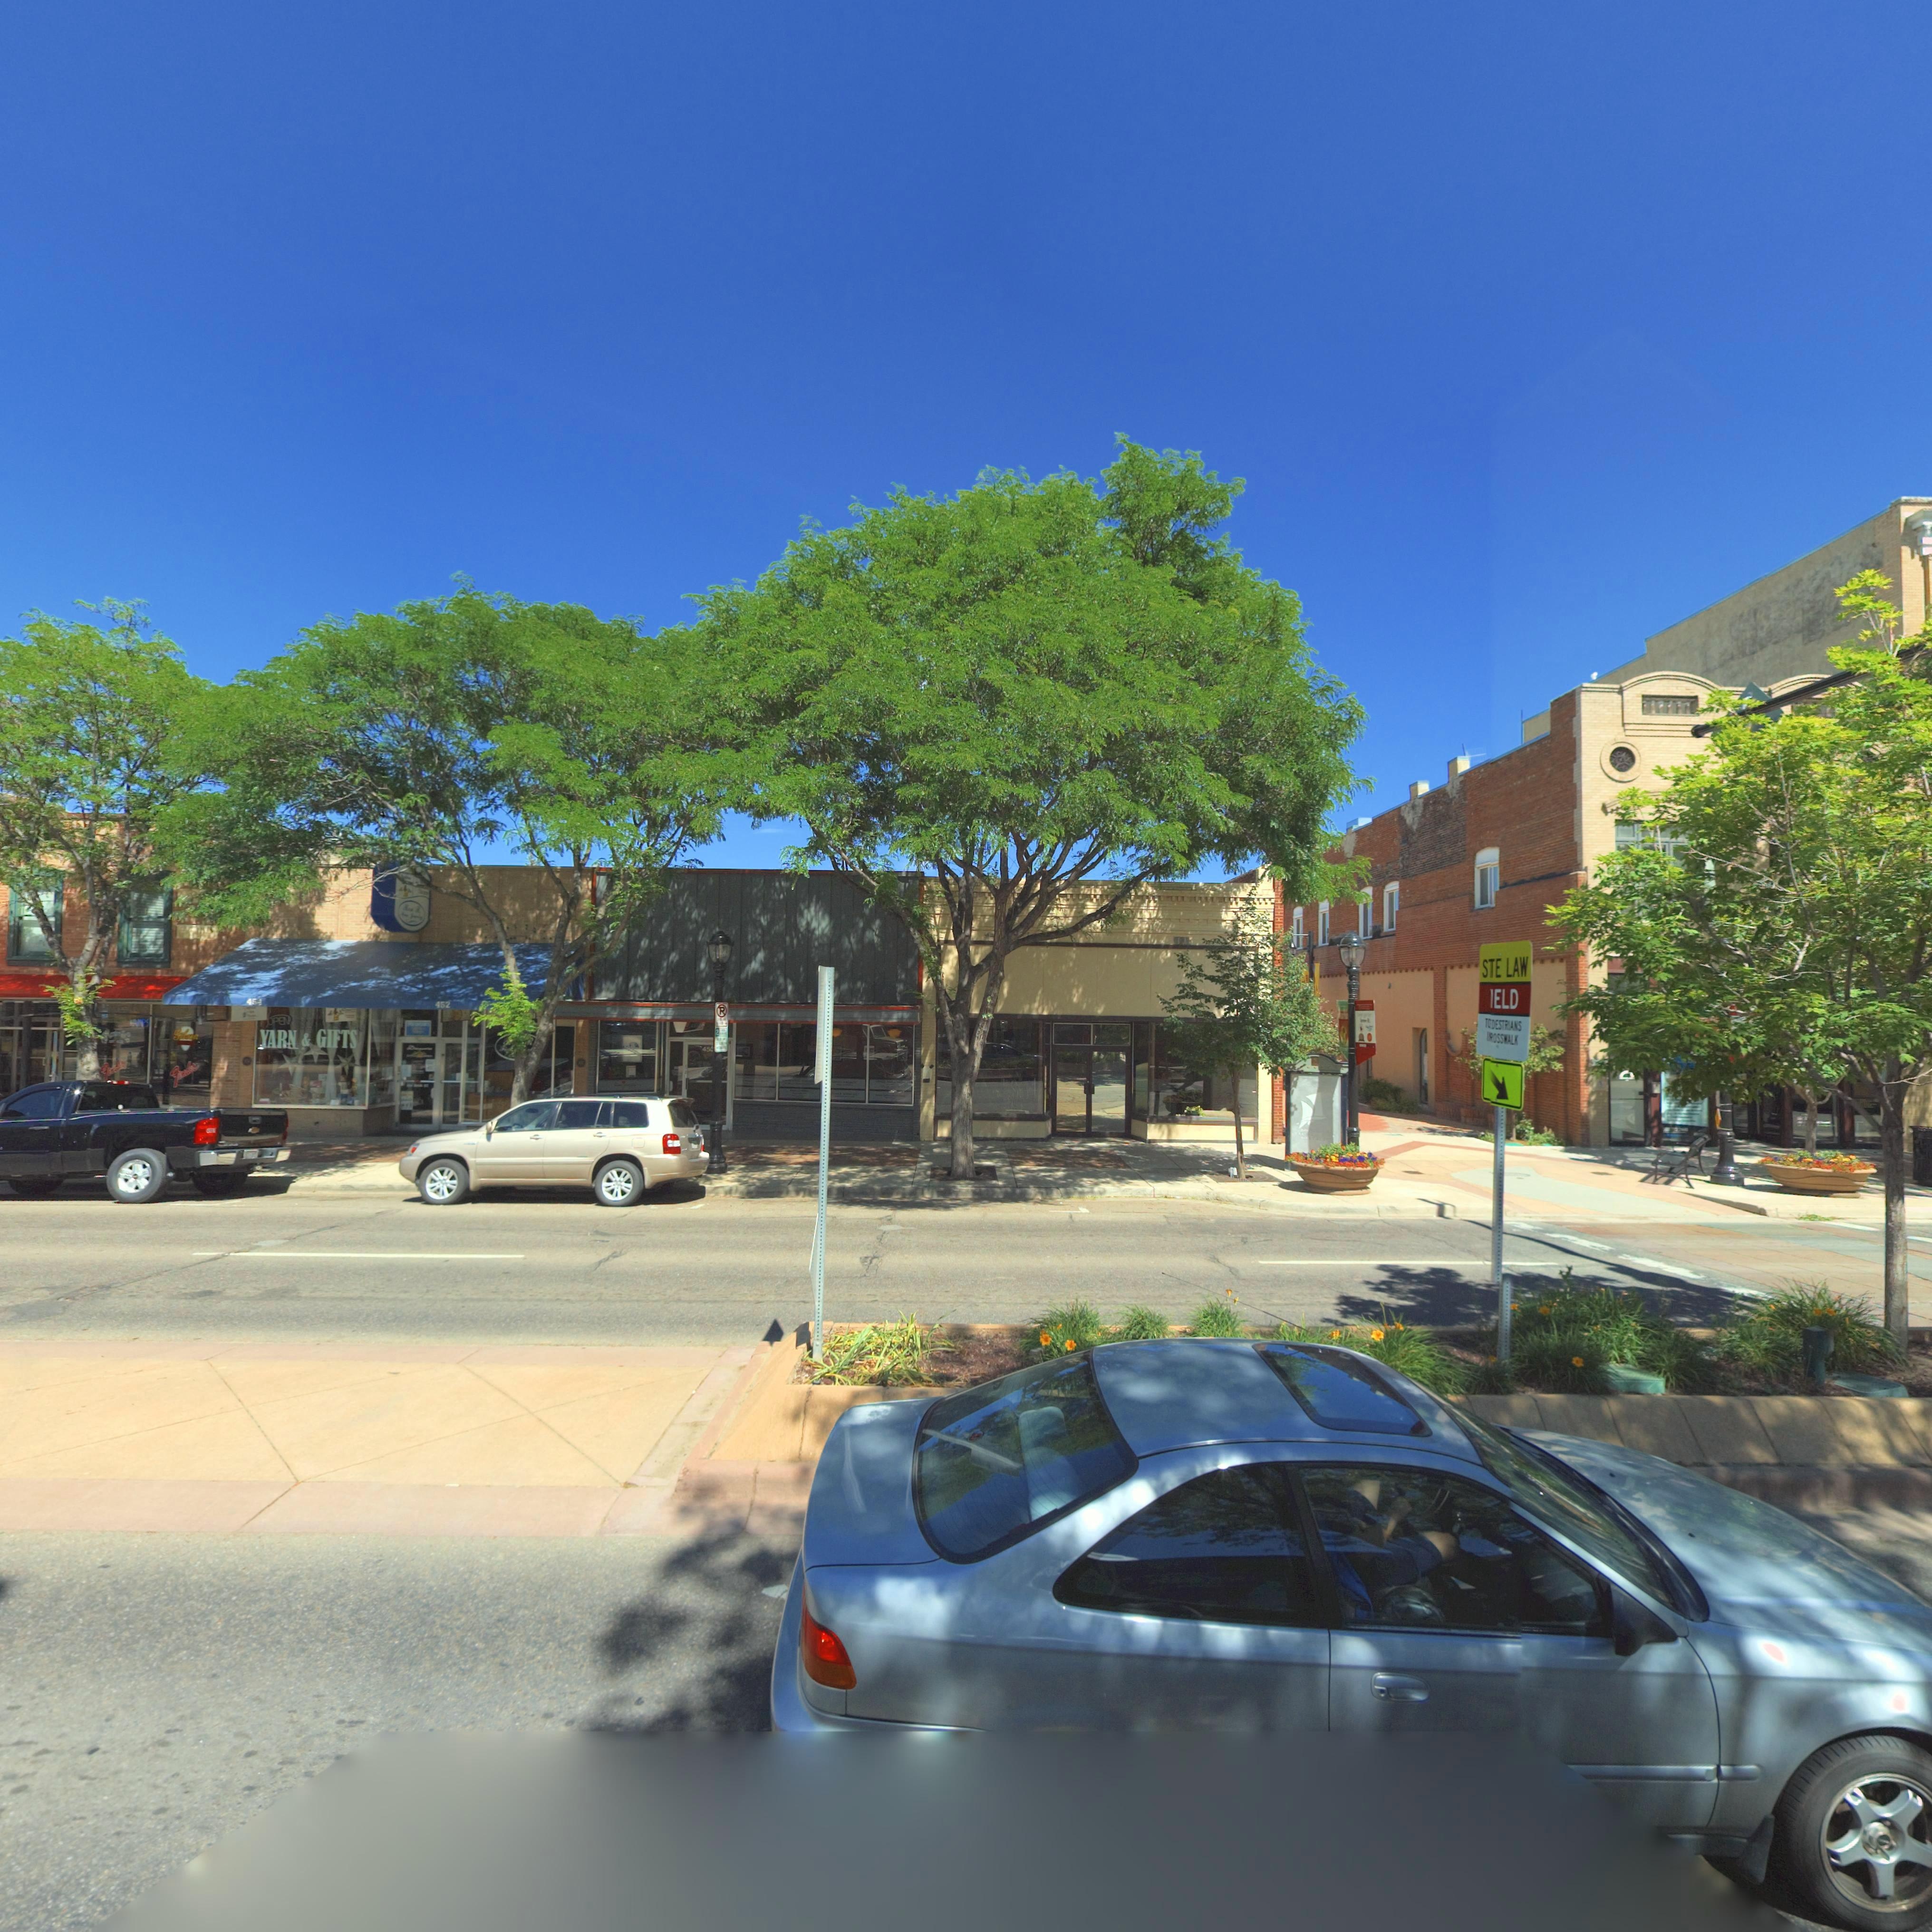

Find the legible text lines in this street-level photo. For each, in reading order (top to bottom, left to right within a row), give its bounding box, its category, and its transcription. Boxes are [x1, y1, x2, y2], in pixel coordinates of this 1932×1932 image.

[246, 997, 262, 1005] None: 454
[435, 1000, 451, 1008] StreetNumber: 452
[702, 1046, 714, 1052] StreetNumber: 454